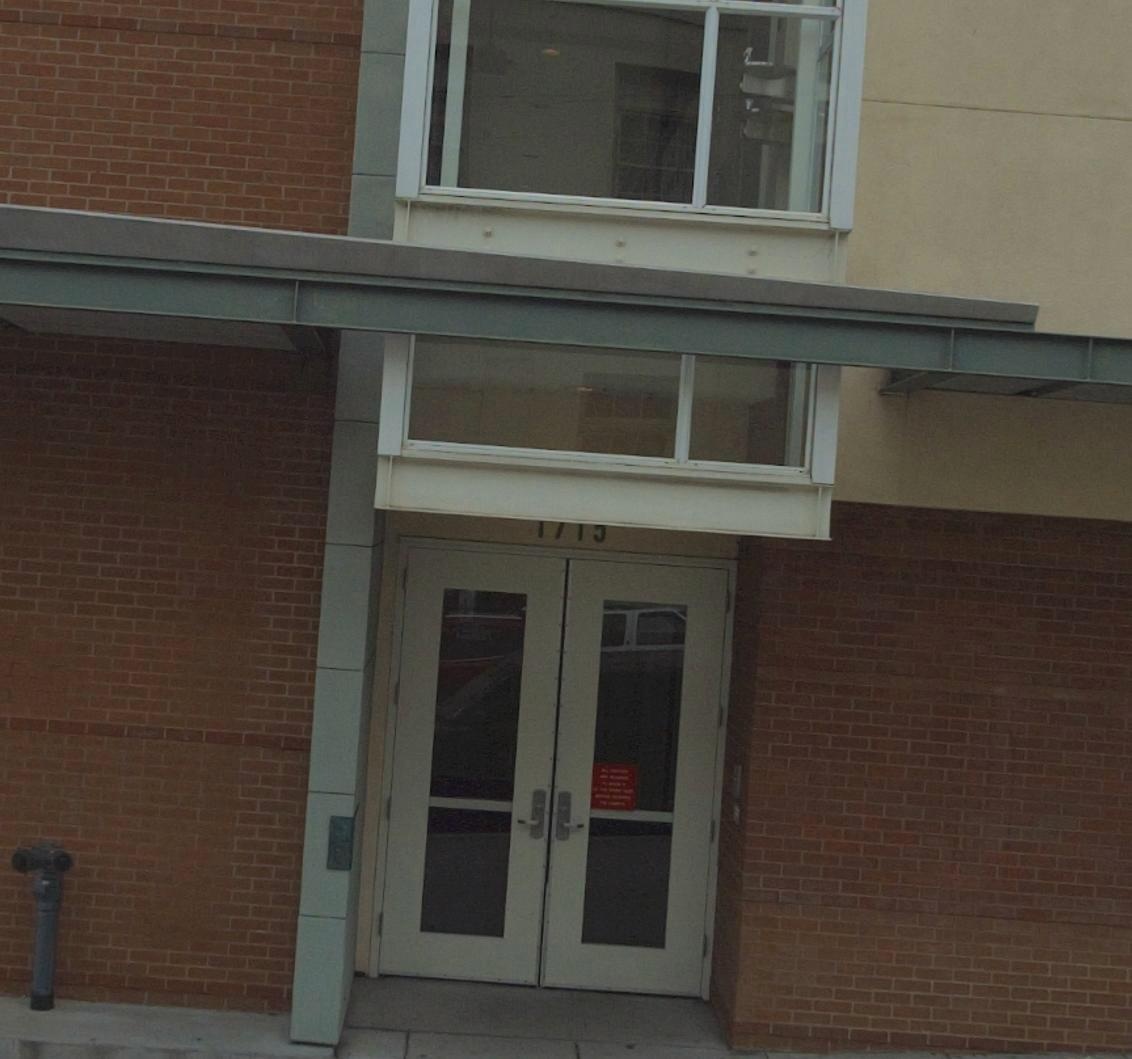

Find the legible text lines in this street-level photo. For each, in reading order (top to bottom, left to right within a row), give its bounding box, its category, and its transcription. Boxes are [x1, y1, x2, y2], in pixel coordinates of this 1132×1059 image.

[536, 520, 608, 544] StreetNumber: 1*1*